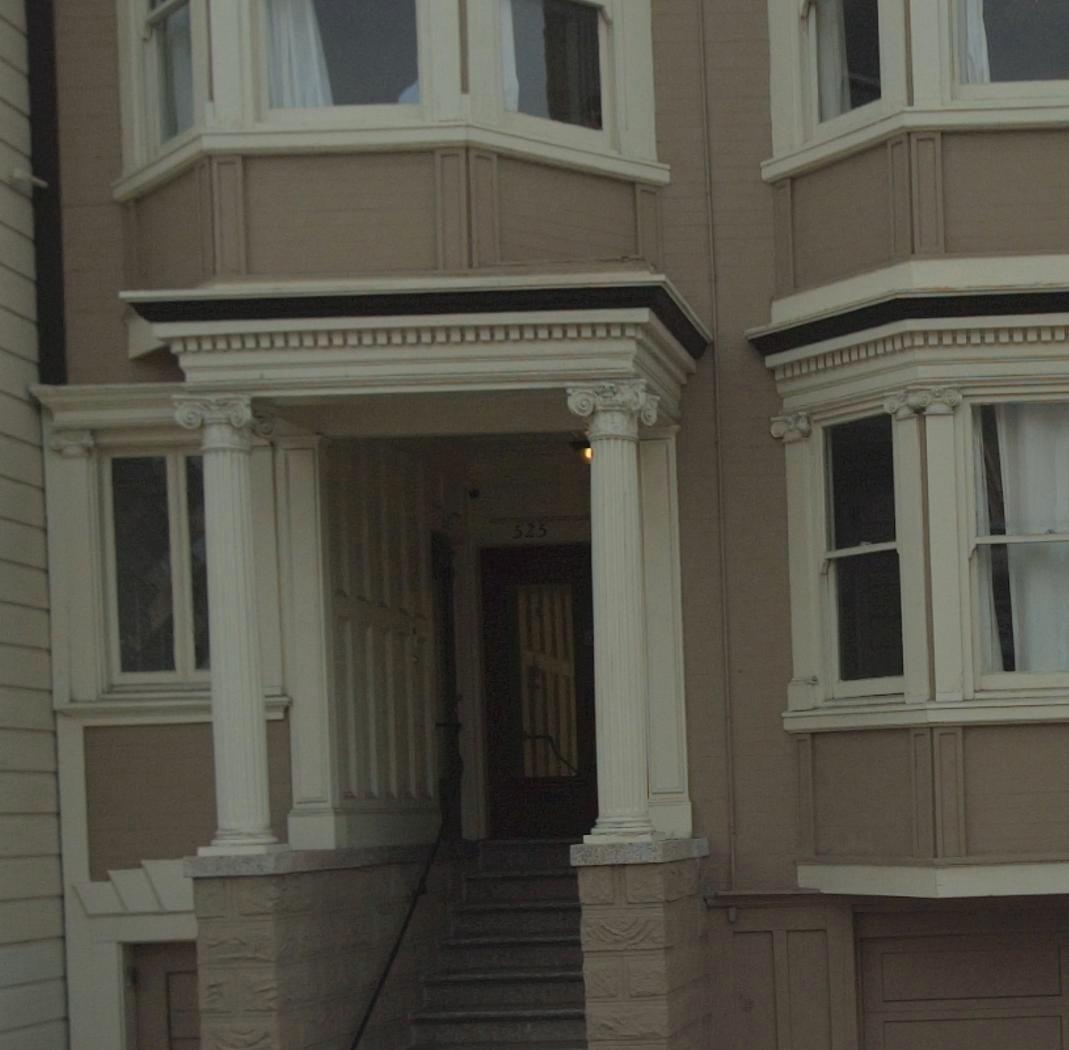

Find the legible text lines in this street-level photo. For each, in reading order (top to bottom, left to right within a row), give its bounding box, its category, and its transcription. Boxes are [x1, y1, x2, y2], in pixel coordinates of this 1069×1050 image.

[511, 522, 548, 539] StreetNumber: 525